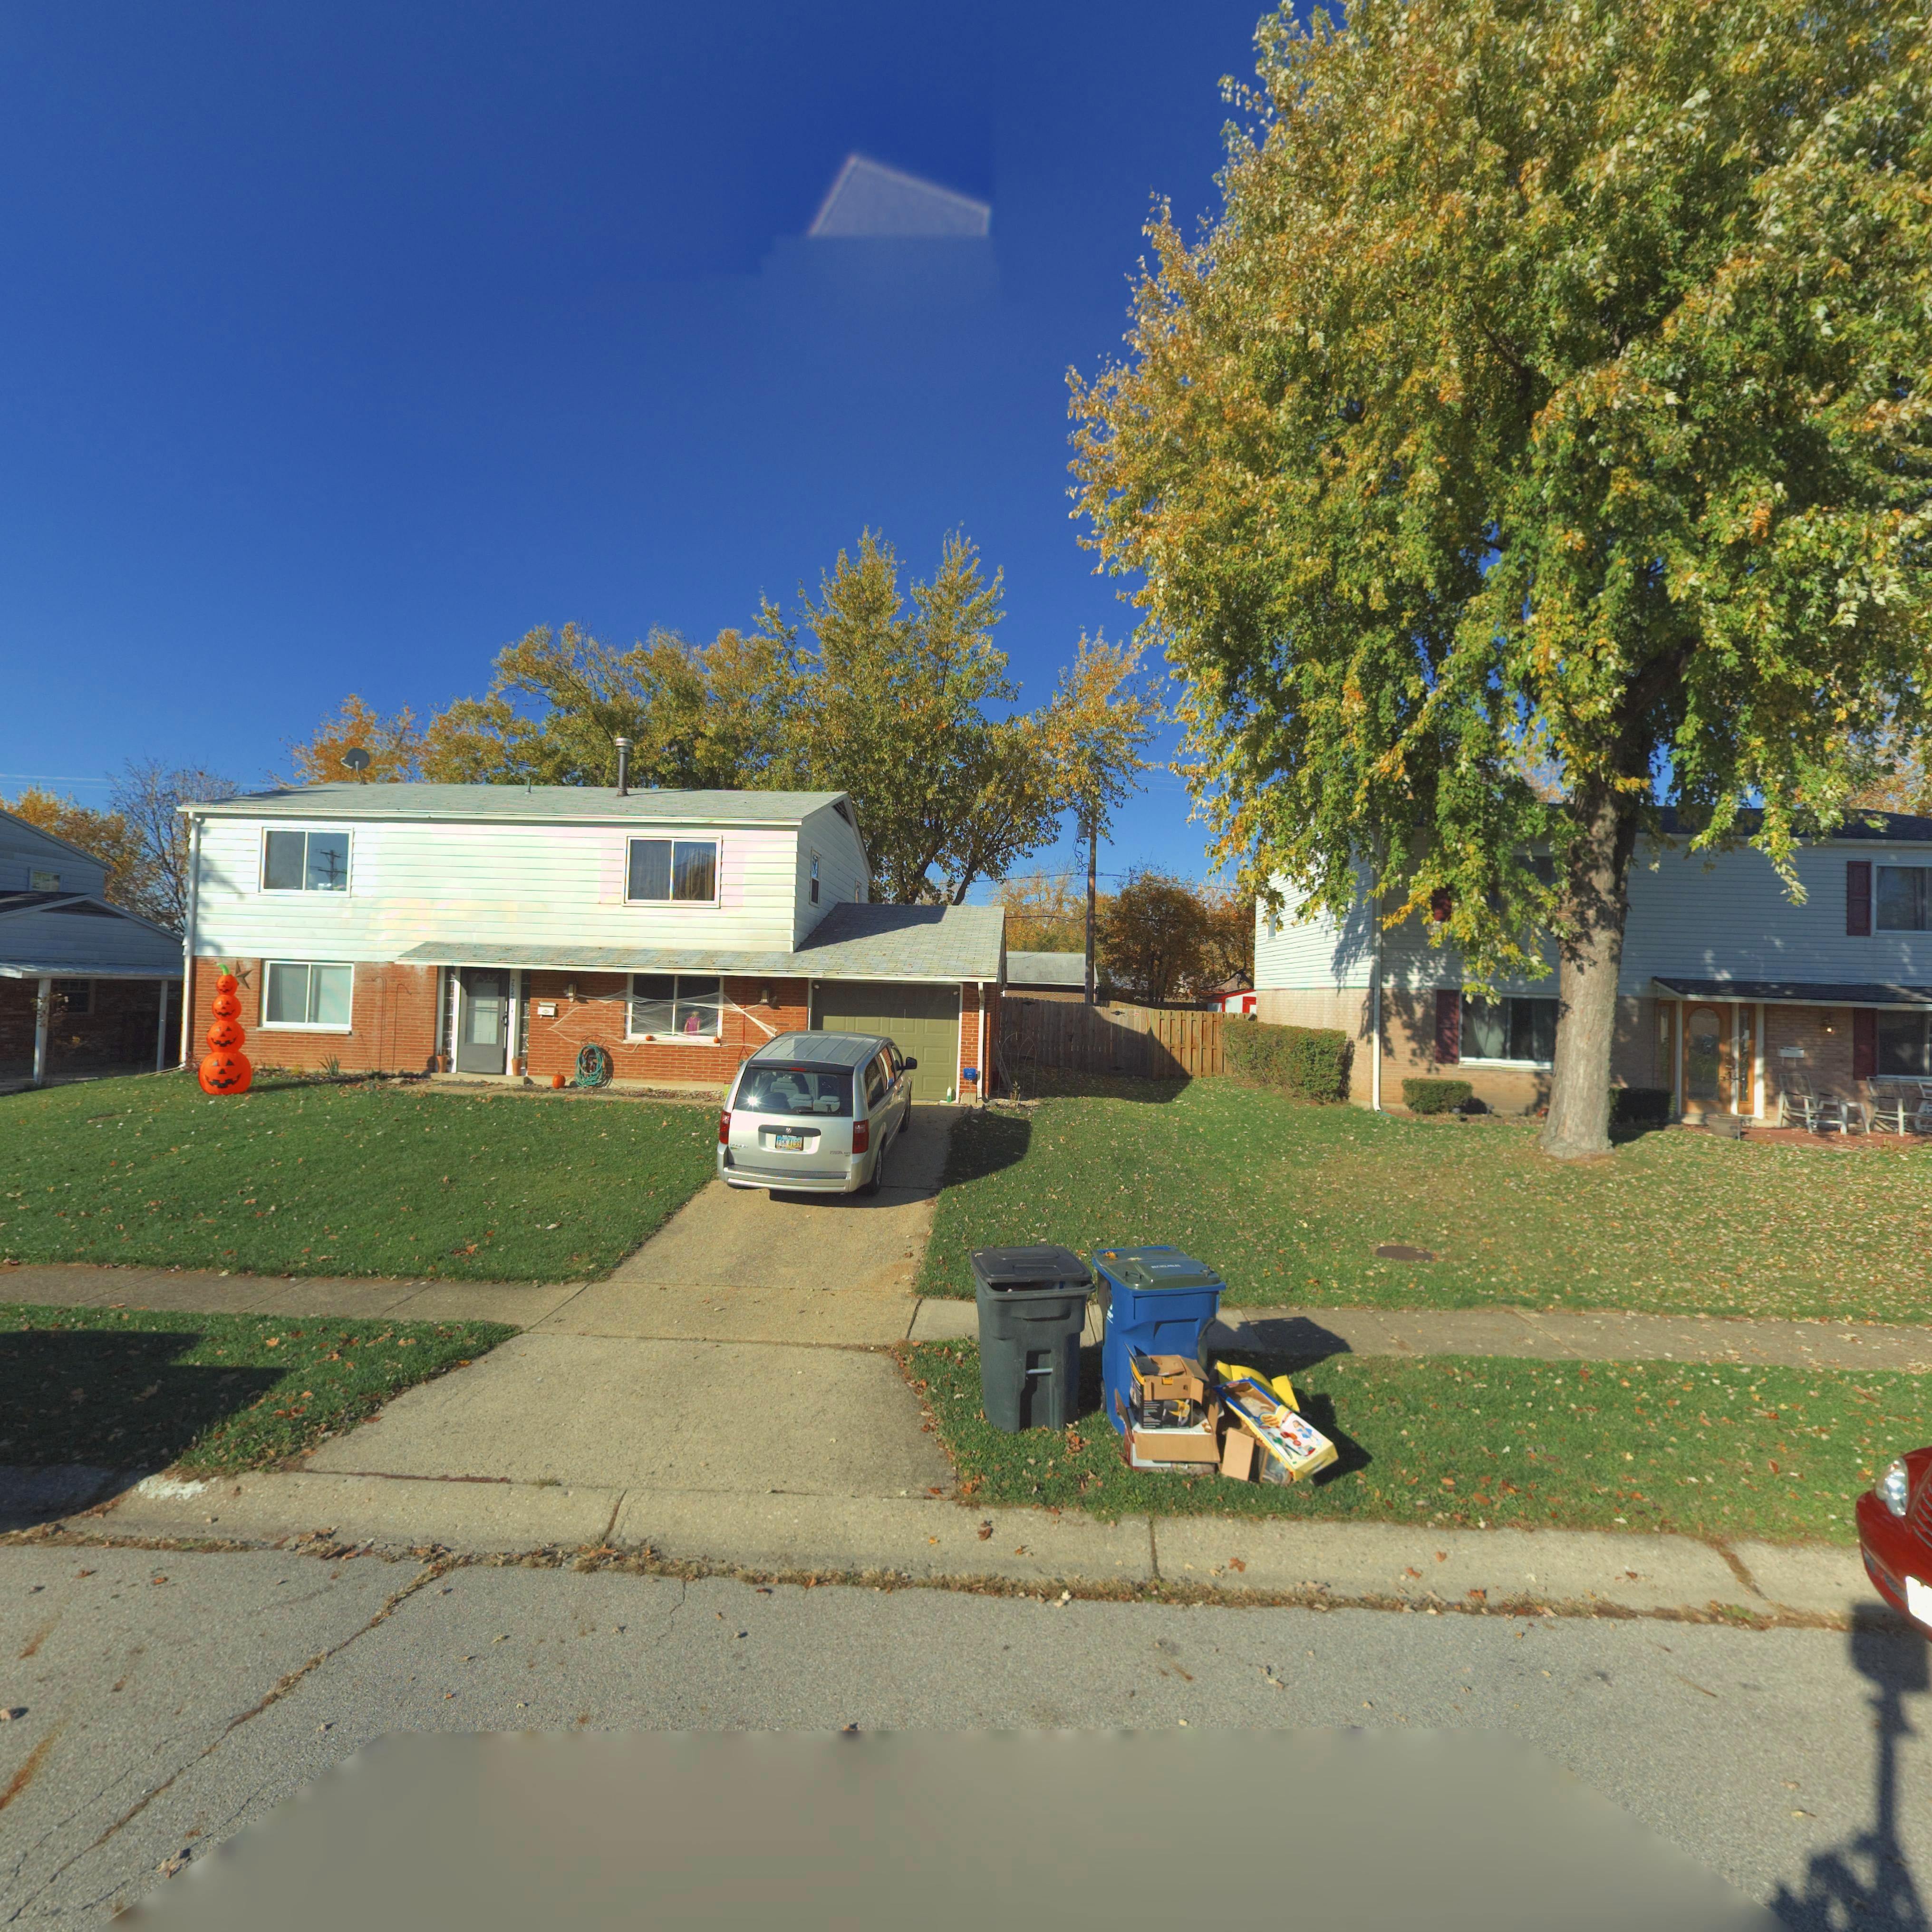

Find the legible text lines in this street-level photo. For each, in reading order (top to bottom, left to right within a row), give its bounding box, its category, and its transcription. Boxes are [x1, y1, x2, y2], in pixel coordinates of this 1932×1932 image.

[510, 978, 516, 1004] StreetNumber: 7747